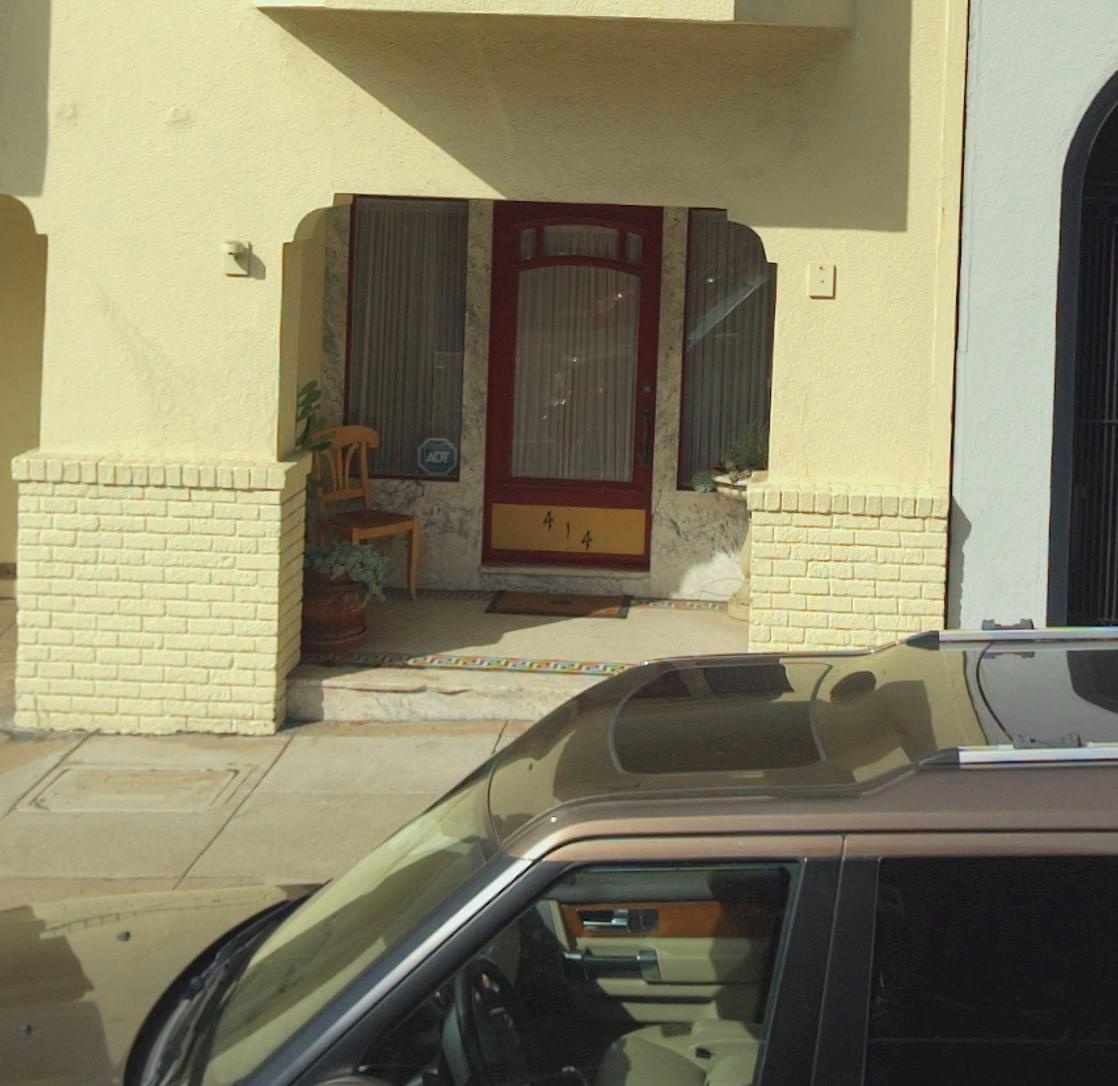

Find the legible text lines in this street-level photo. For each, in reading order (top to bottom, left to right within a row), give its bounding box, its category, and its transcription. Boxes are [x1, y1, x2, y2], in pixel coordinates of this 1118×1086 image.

[422, 450, 452, 464] None: ADT
[539, 508, 596, 554] StreetNumber: 414